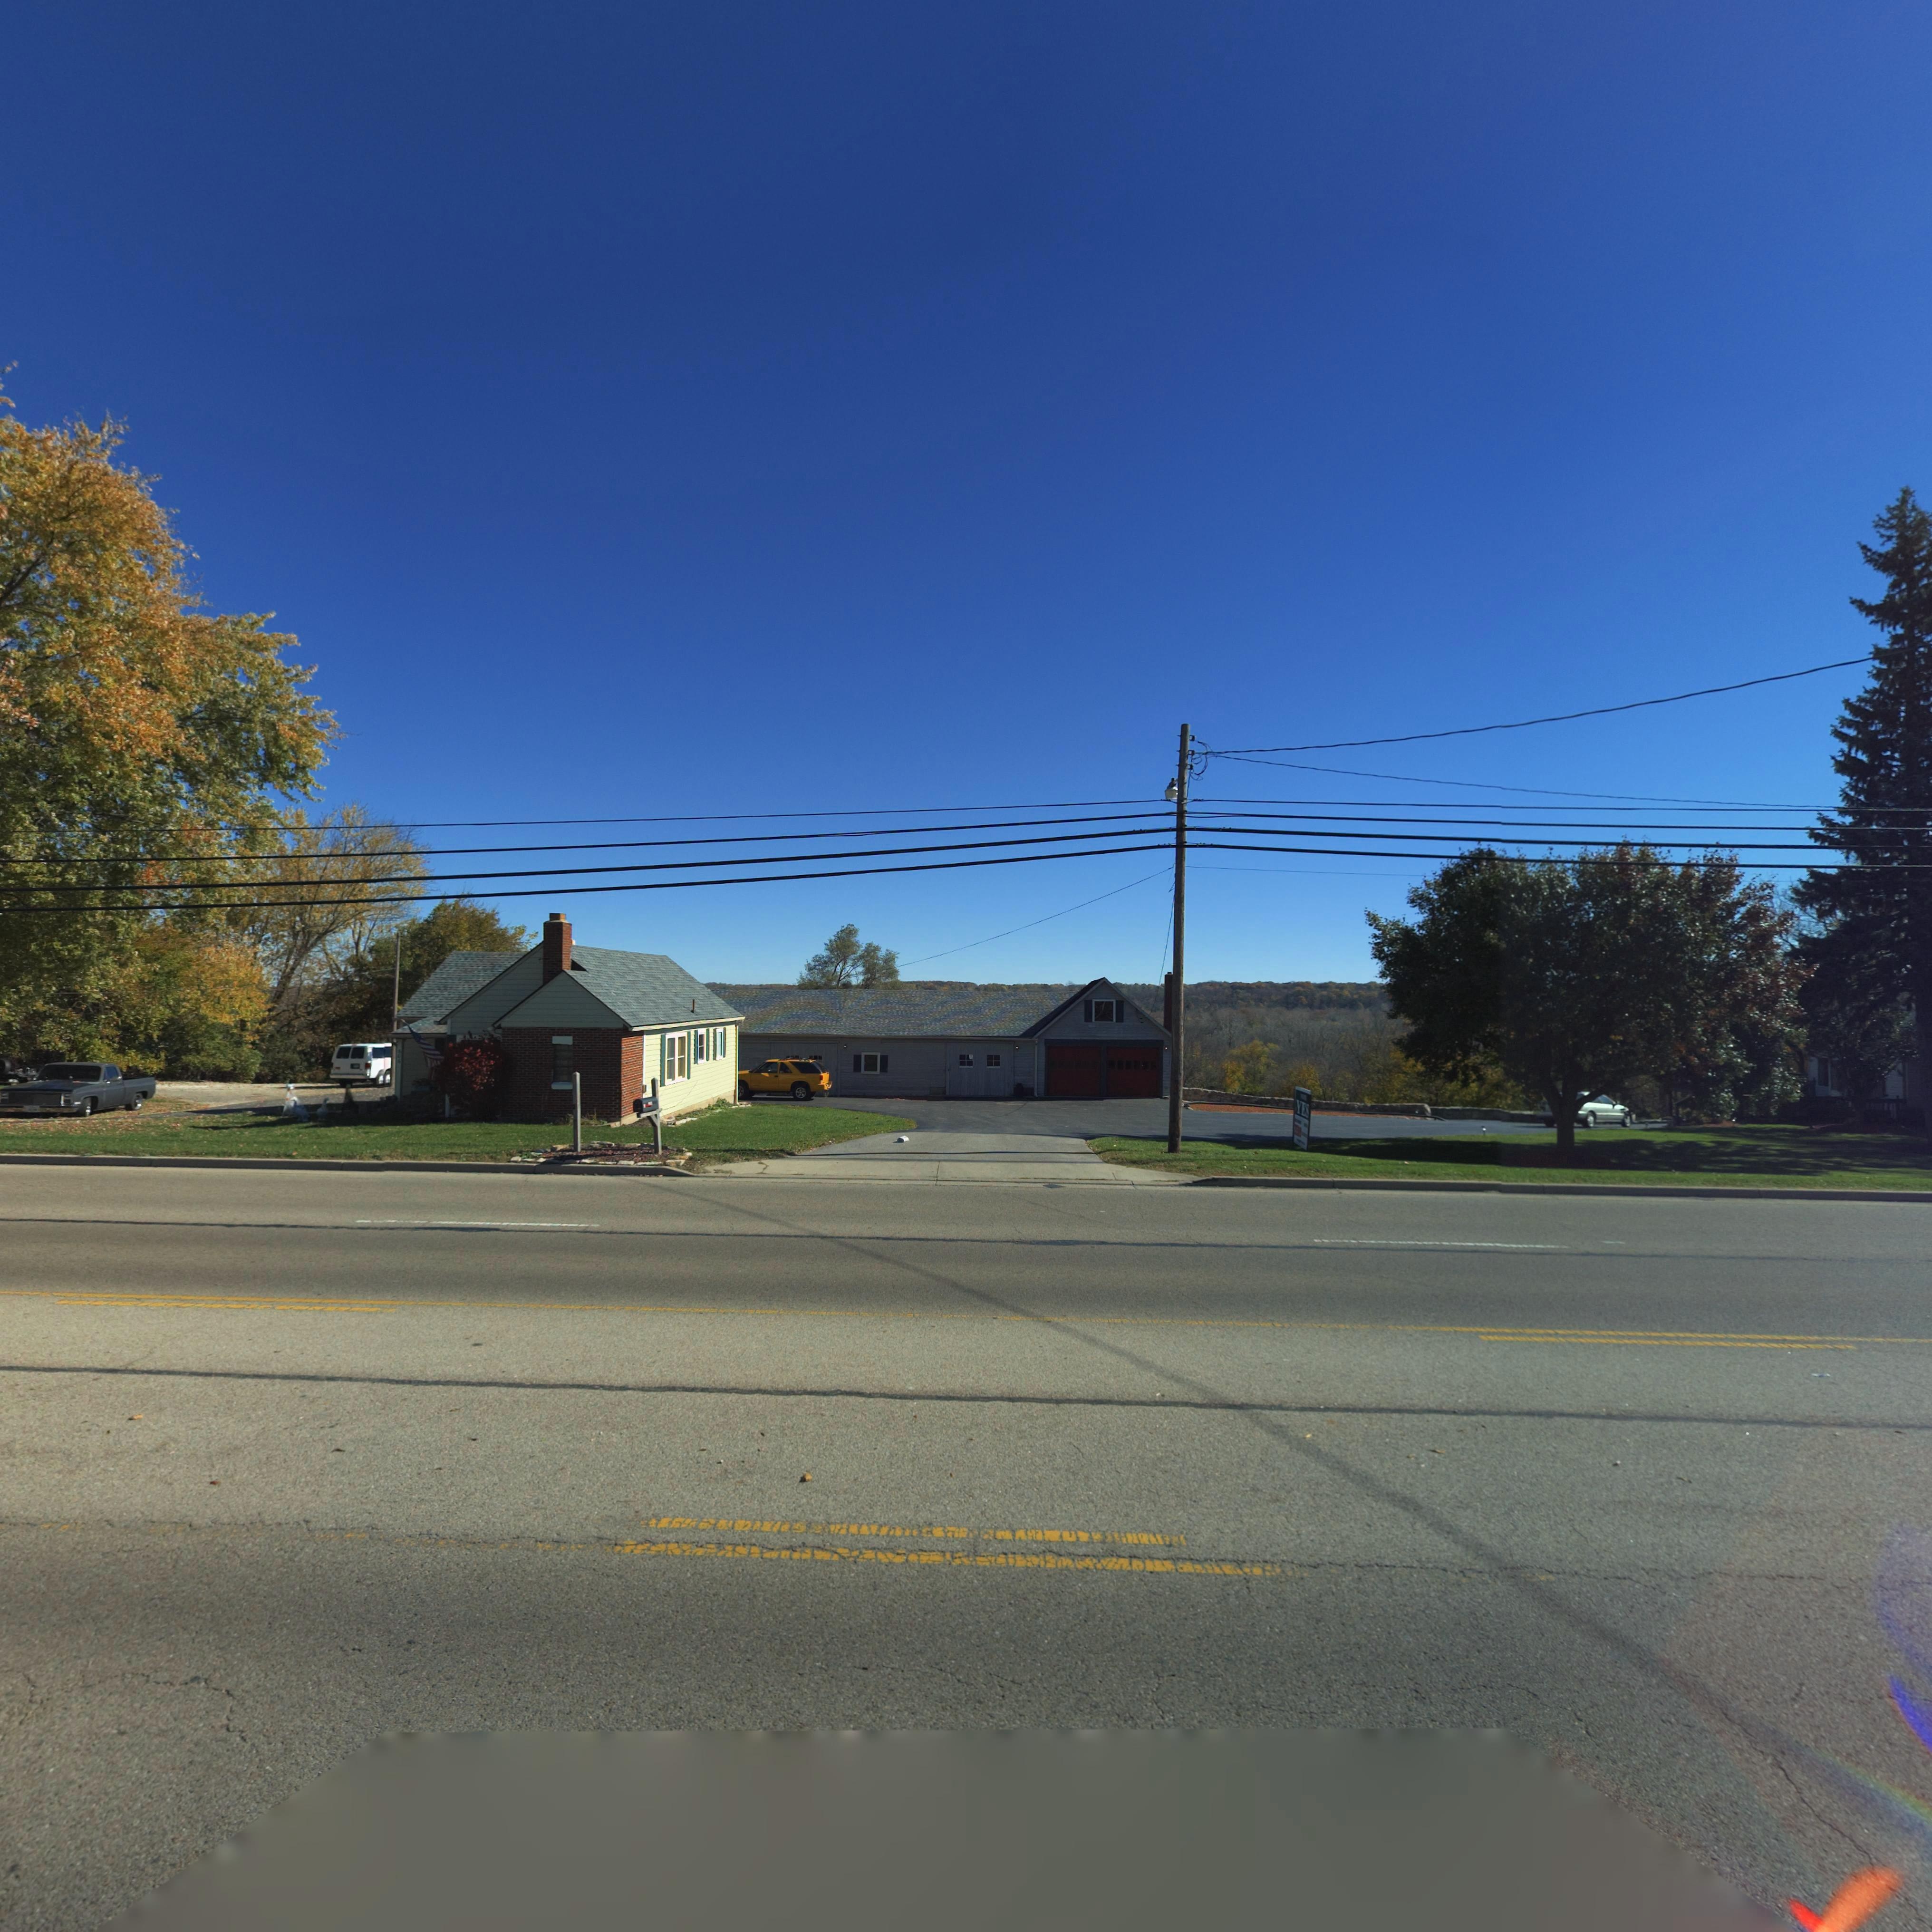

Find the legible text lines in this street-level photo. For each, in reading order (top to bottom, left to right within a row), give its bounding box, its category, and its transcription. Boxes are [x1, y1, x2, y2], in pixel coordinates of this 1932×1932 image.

[397, 1049, 402, 1063] StreetNumber: 606
[1296, 1099, 1310, 1120] None: YES